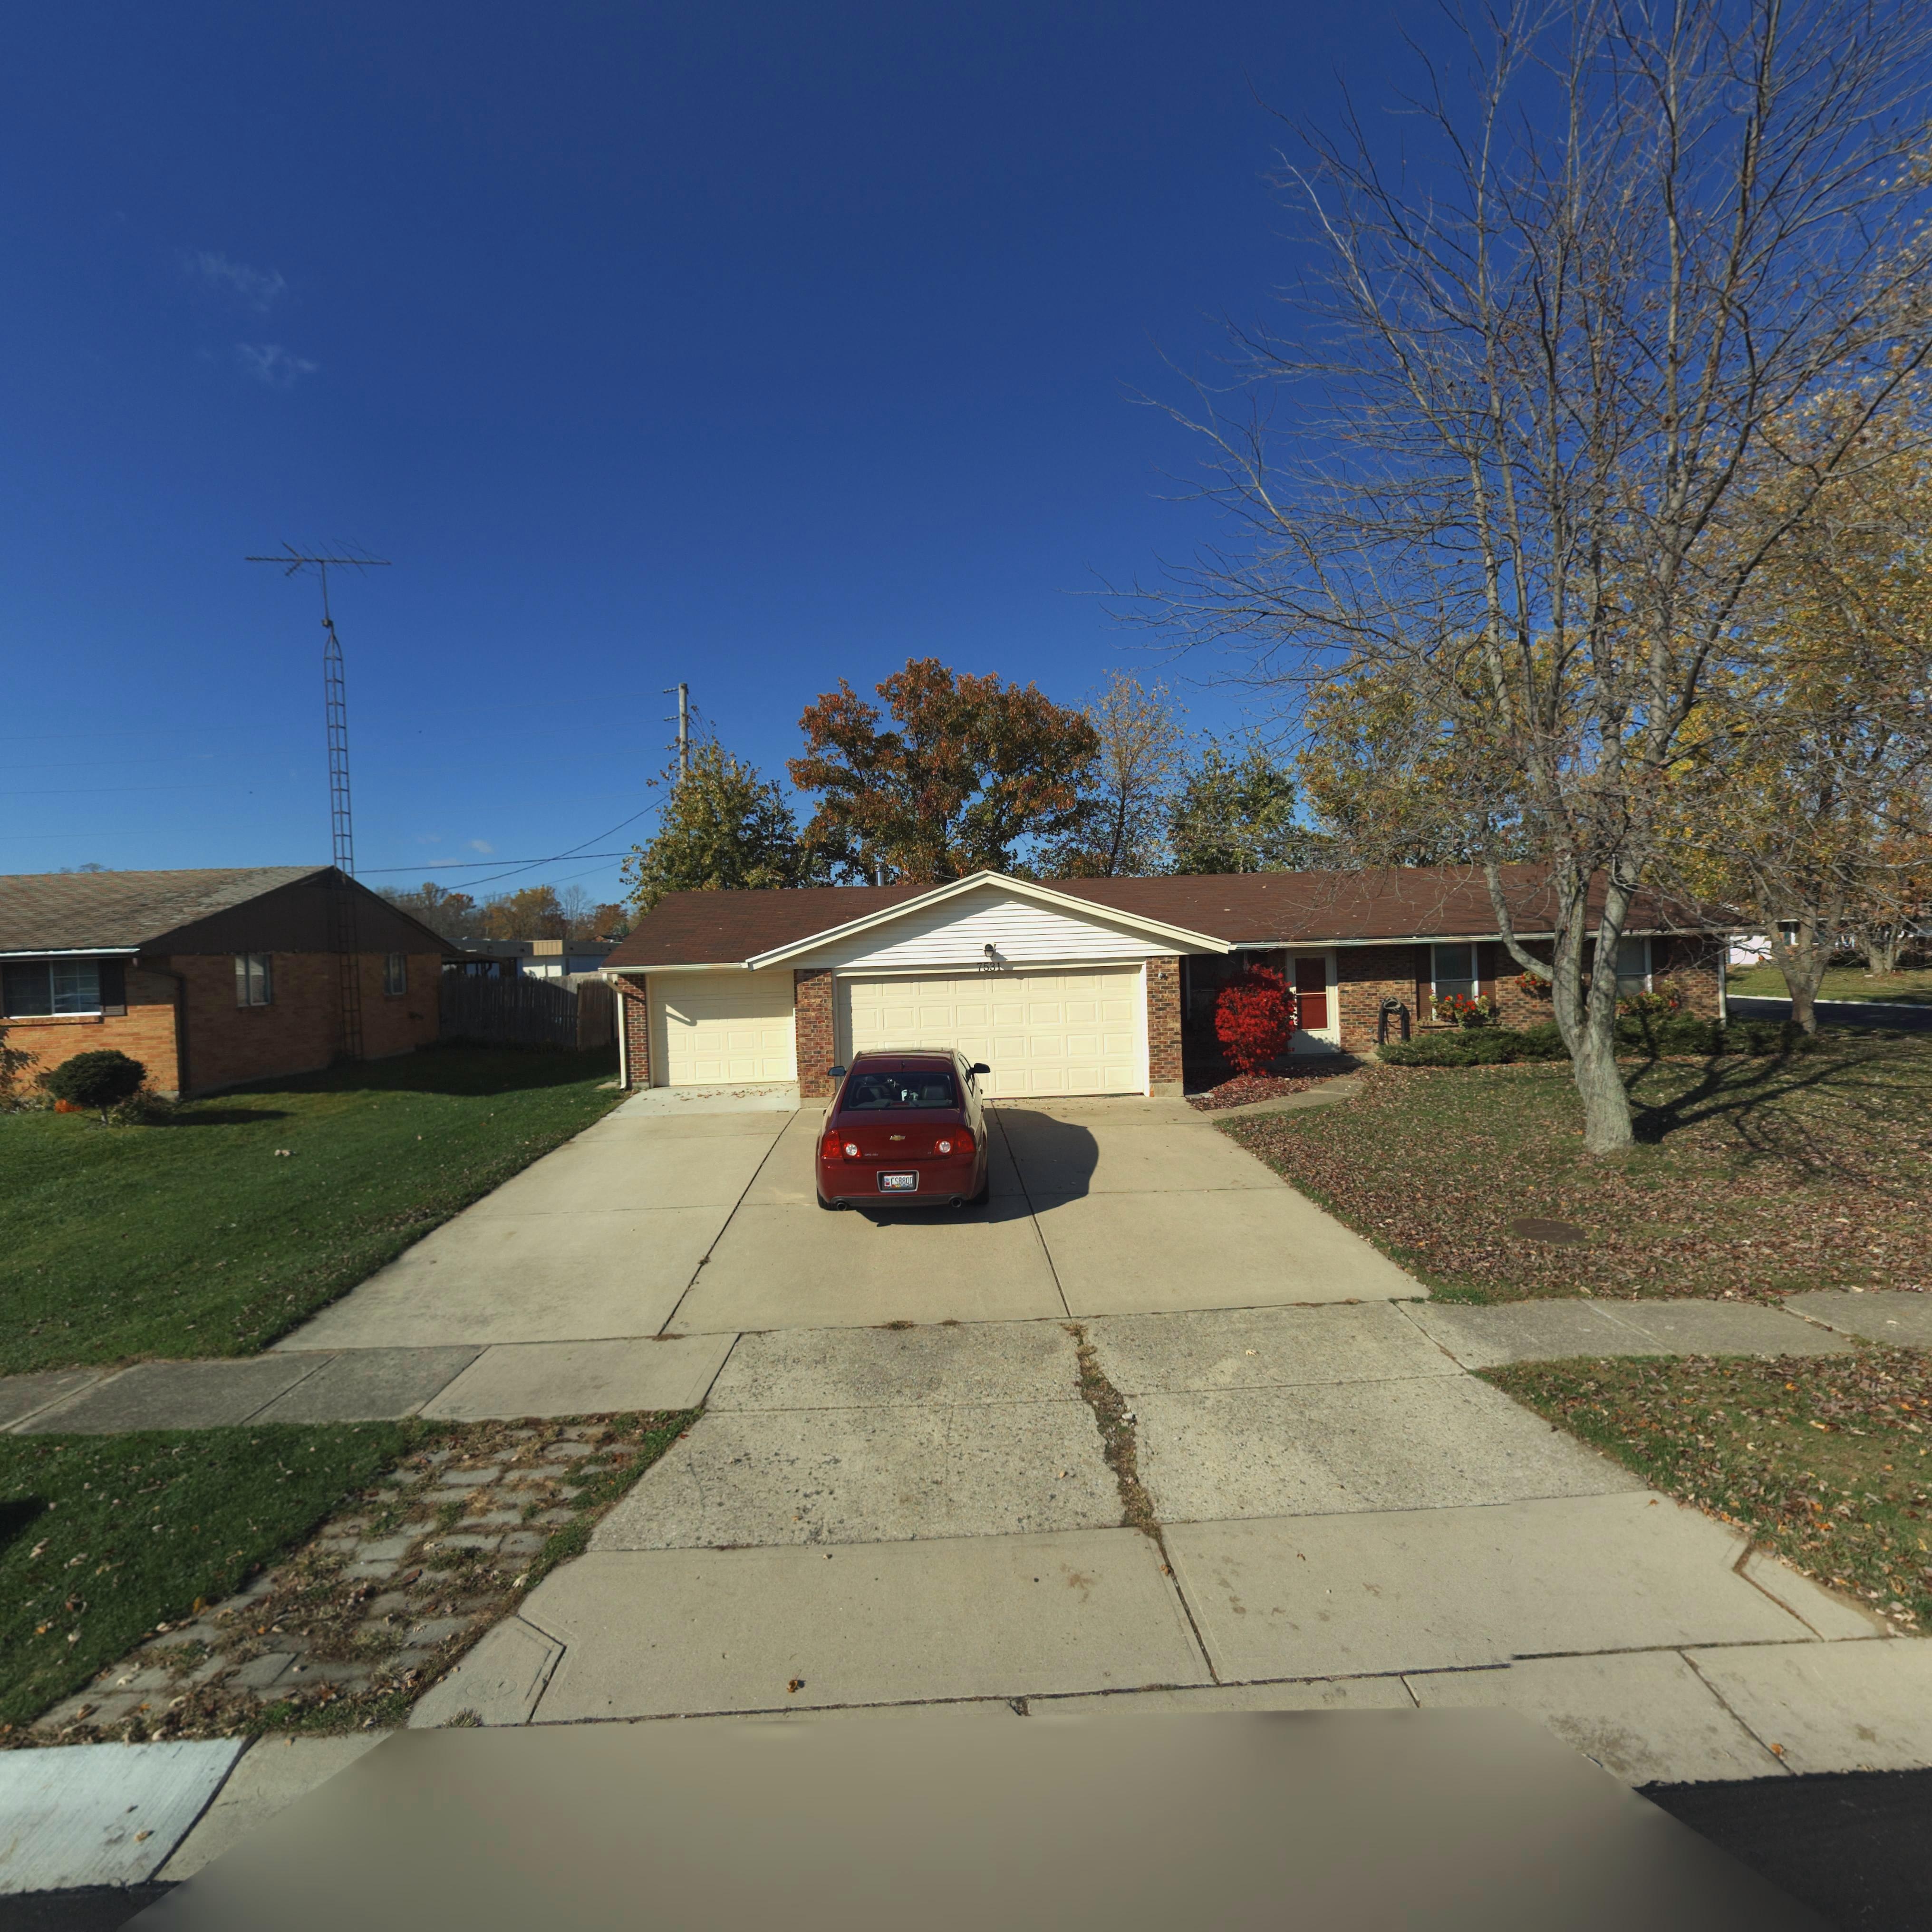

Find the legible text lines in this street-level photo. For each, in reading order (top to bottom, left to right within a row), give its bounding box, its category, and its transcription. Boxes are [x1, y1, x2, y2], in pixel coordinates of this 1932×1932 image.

[976, 961, 1002, 972] StreetNumber: 7531